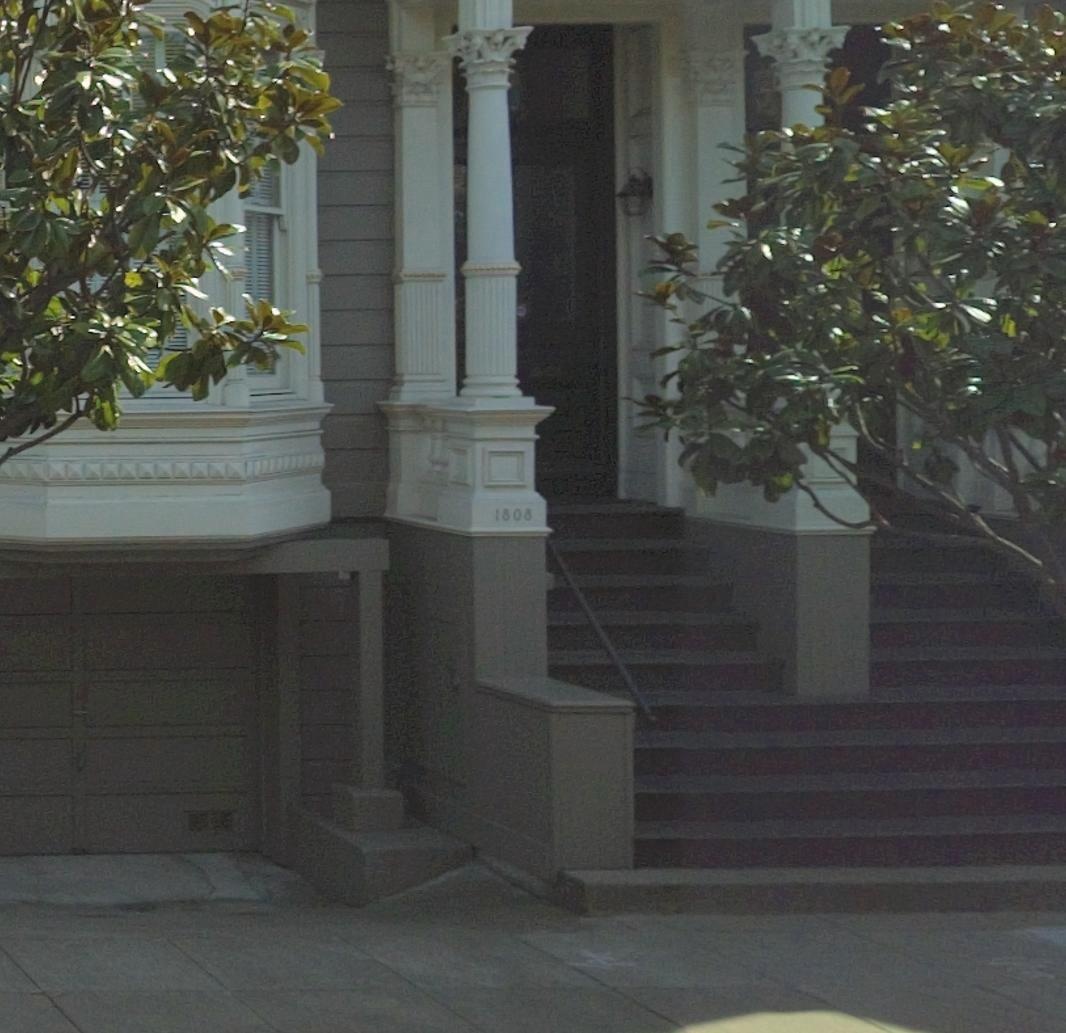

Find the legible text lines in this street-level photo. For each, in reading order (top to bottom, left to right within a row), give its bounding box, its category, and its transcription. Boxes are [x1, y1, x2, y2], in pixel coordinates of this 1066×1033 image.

[493, 506, 534, 525] StreetNumber: 1808